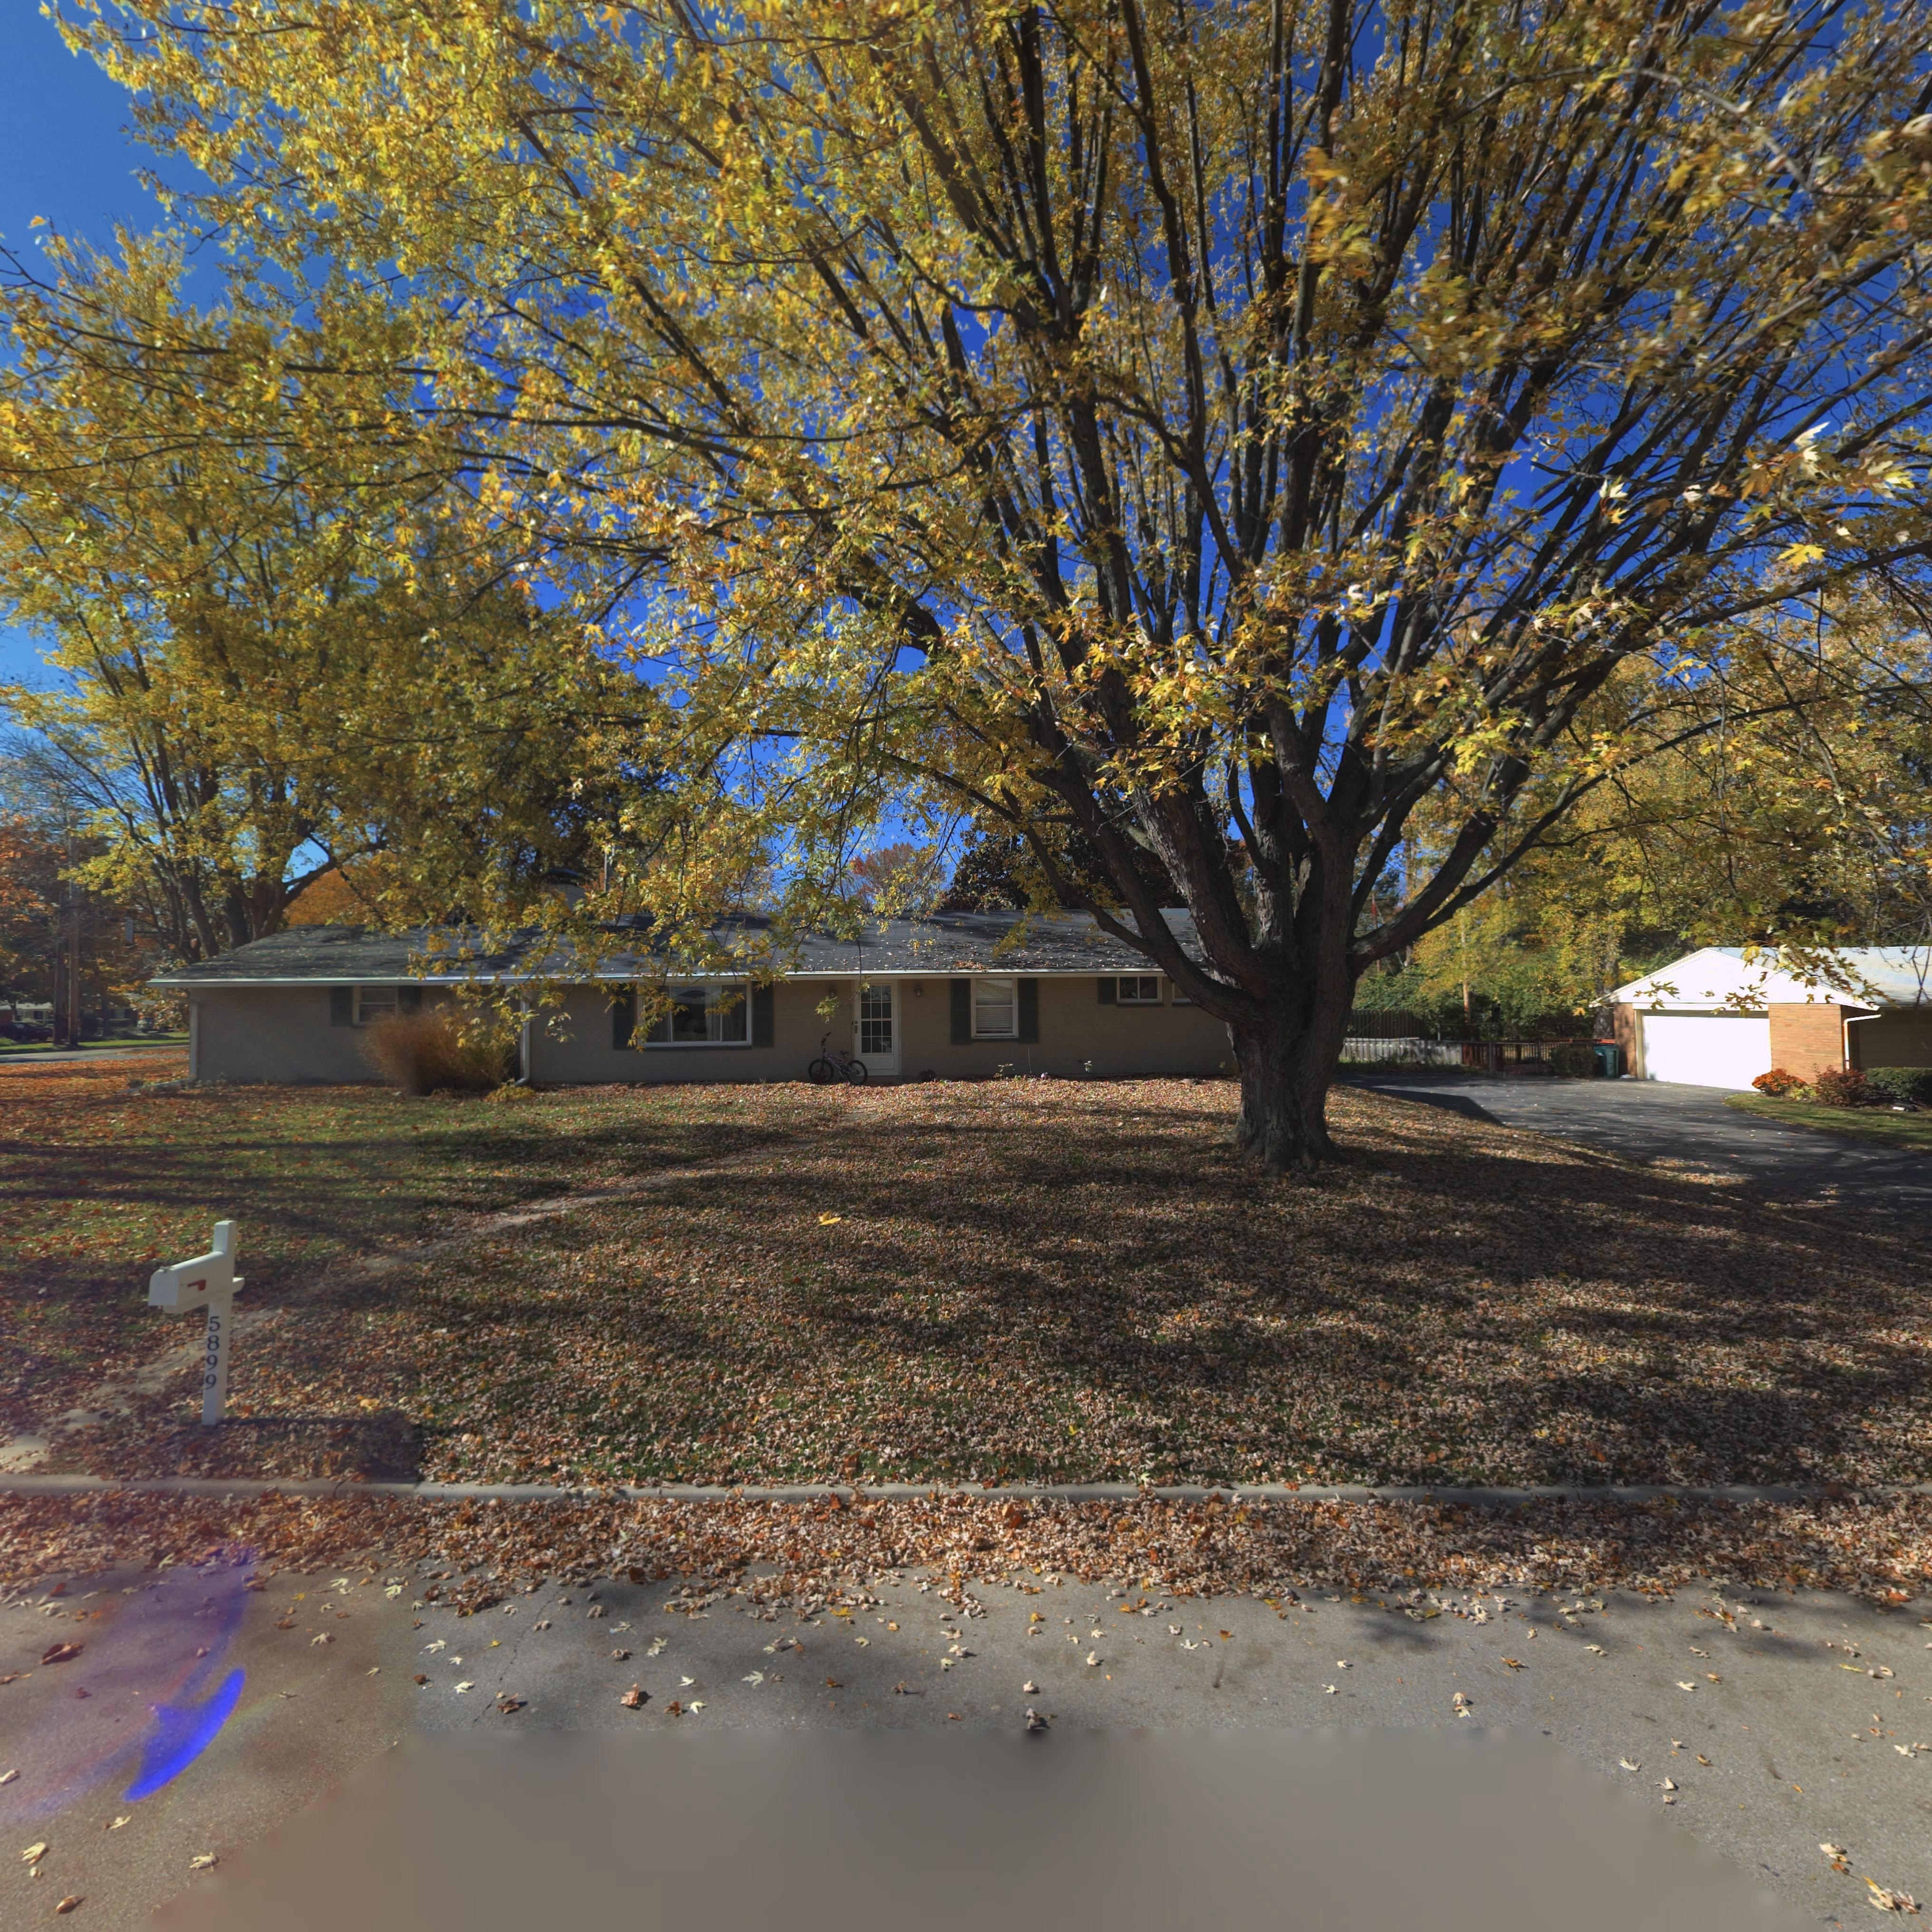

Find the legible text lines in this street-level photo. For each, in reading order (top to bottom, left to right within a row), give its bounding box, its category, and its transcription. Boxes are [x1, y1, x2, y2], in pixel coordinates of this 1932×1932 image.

[204, 1315, 222, 1391] StreetNumber: 5899